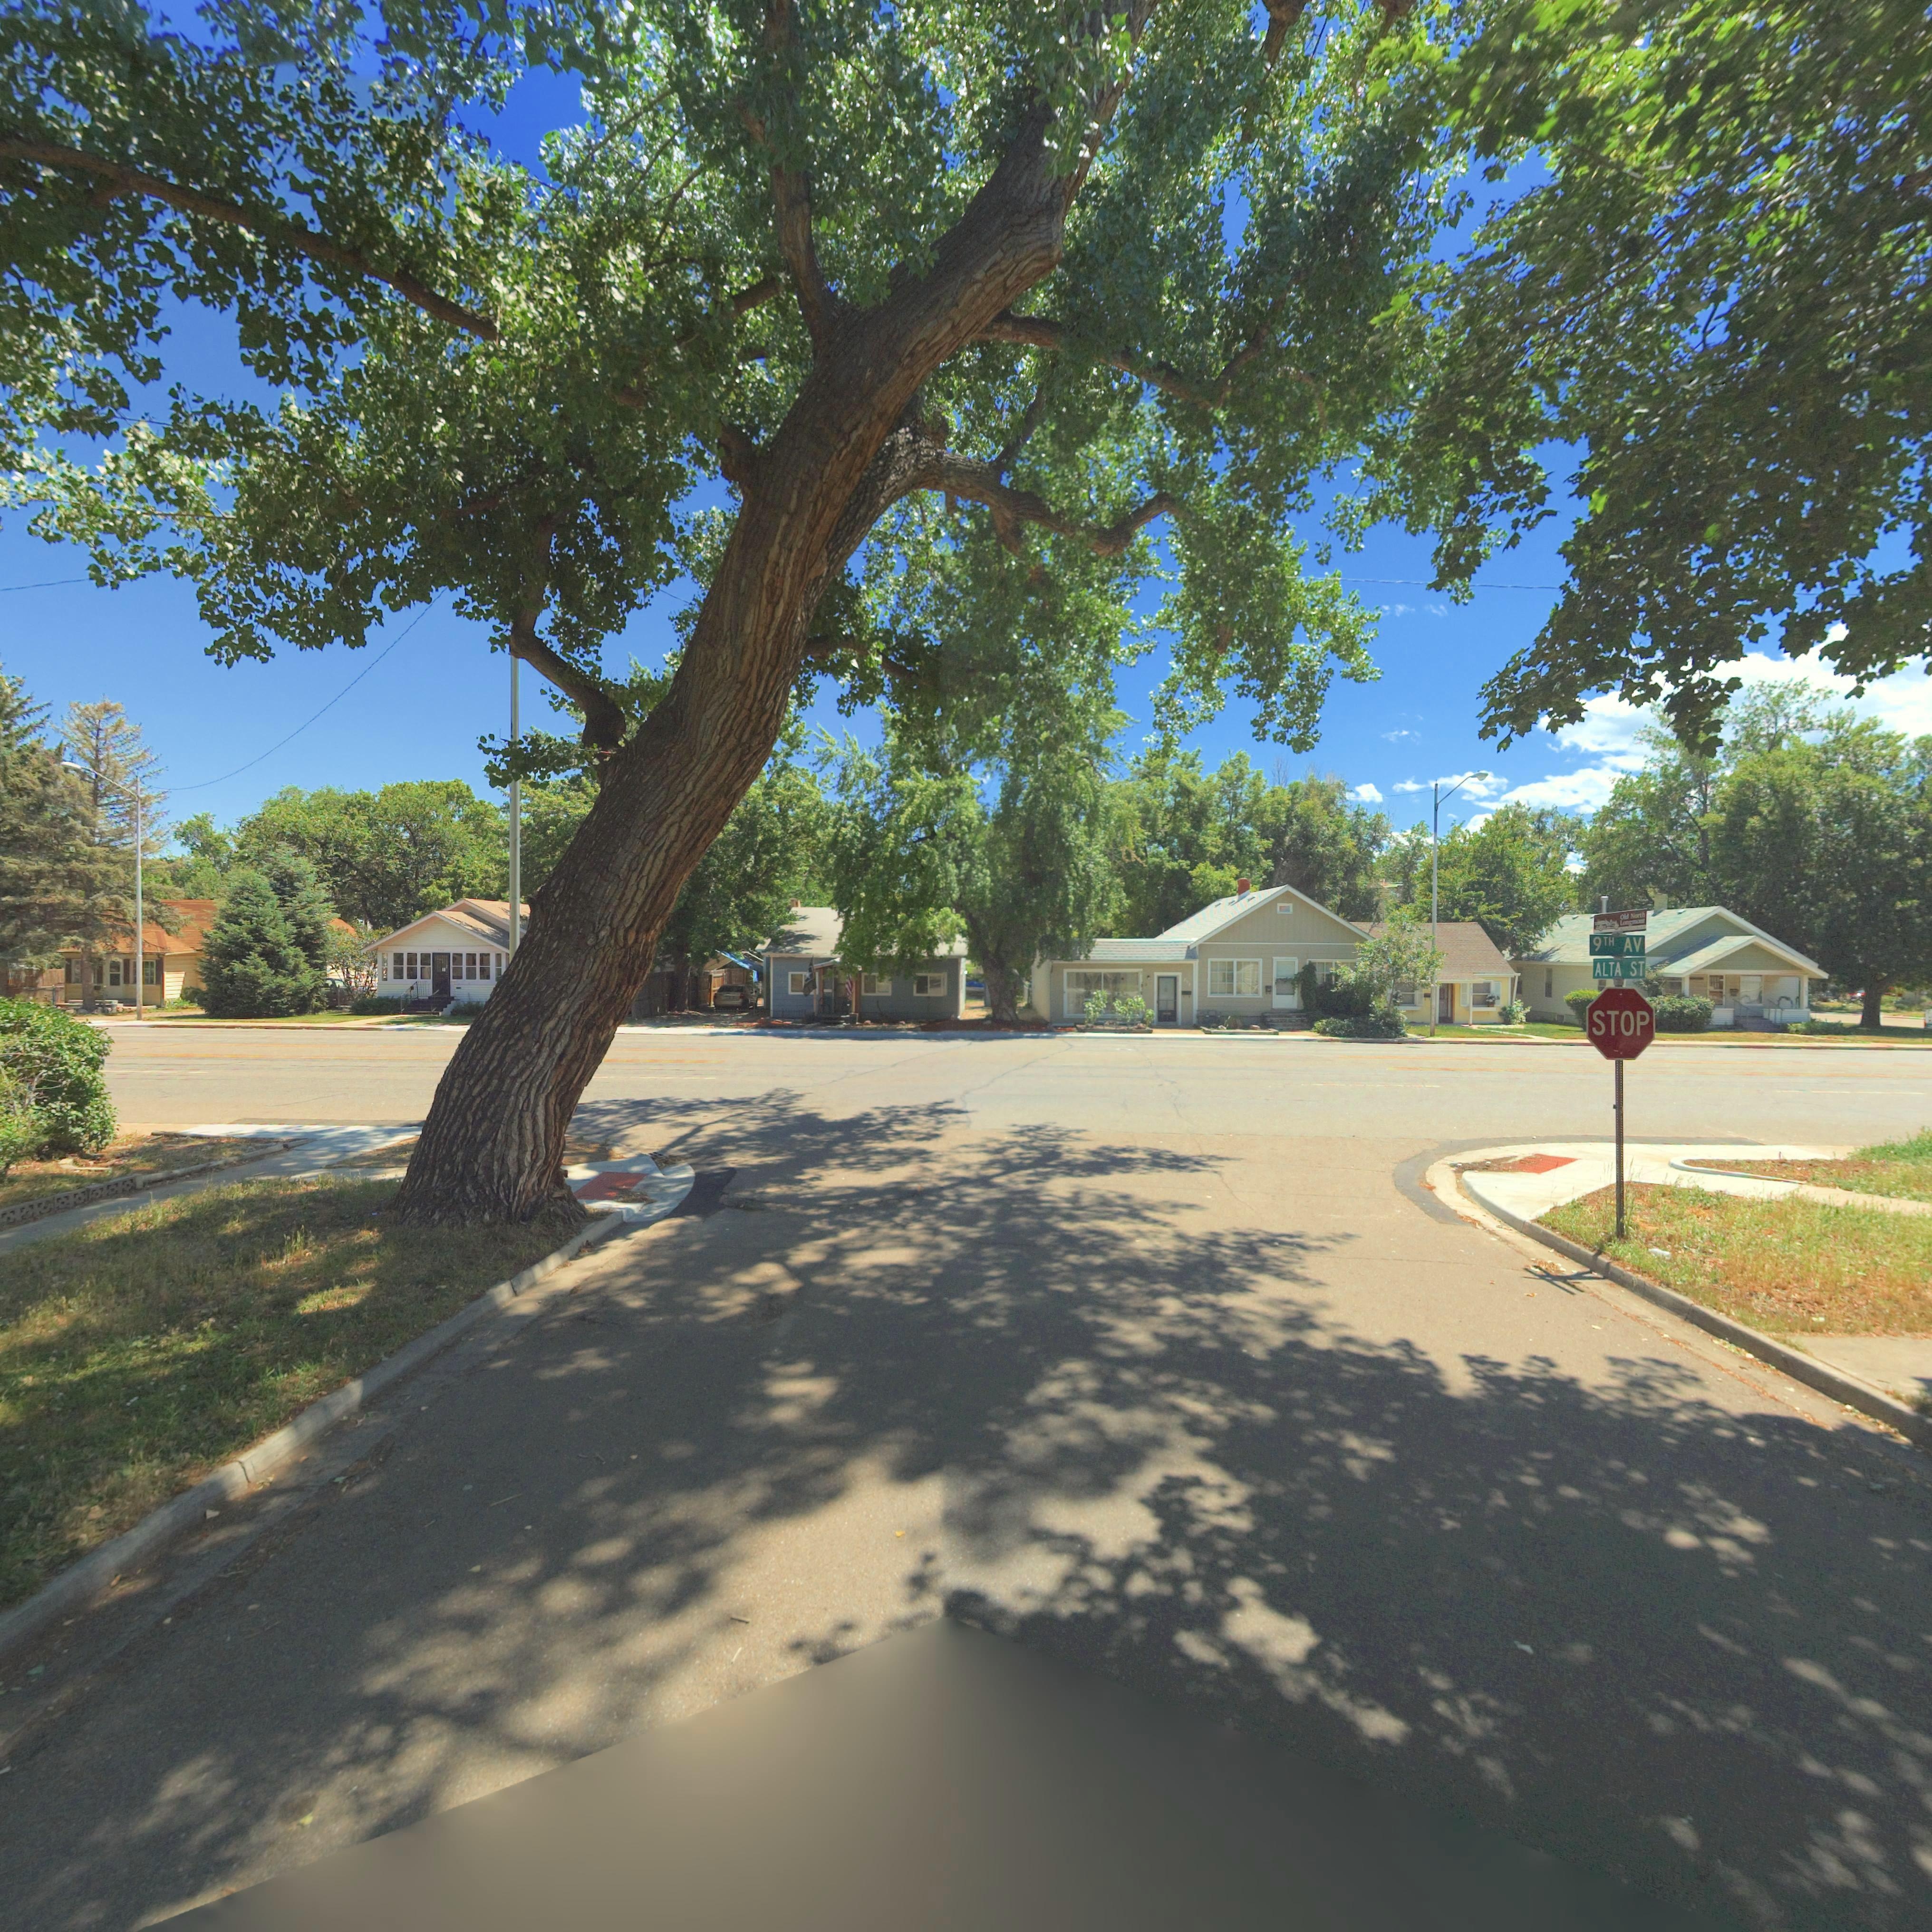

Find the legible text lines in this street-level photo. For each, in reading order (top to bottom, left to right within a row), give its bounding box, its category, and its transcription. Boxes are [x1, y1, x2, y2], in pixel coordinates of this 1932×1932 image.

[1593, 936, 1642, 952] StreetName: 9TH AV
[1594, 960, 1645, 976] StreetName: ALTA ST
[1183, 977, 1191, 987] StreetNumber: 7**